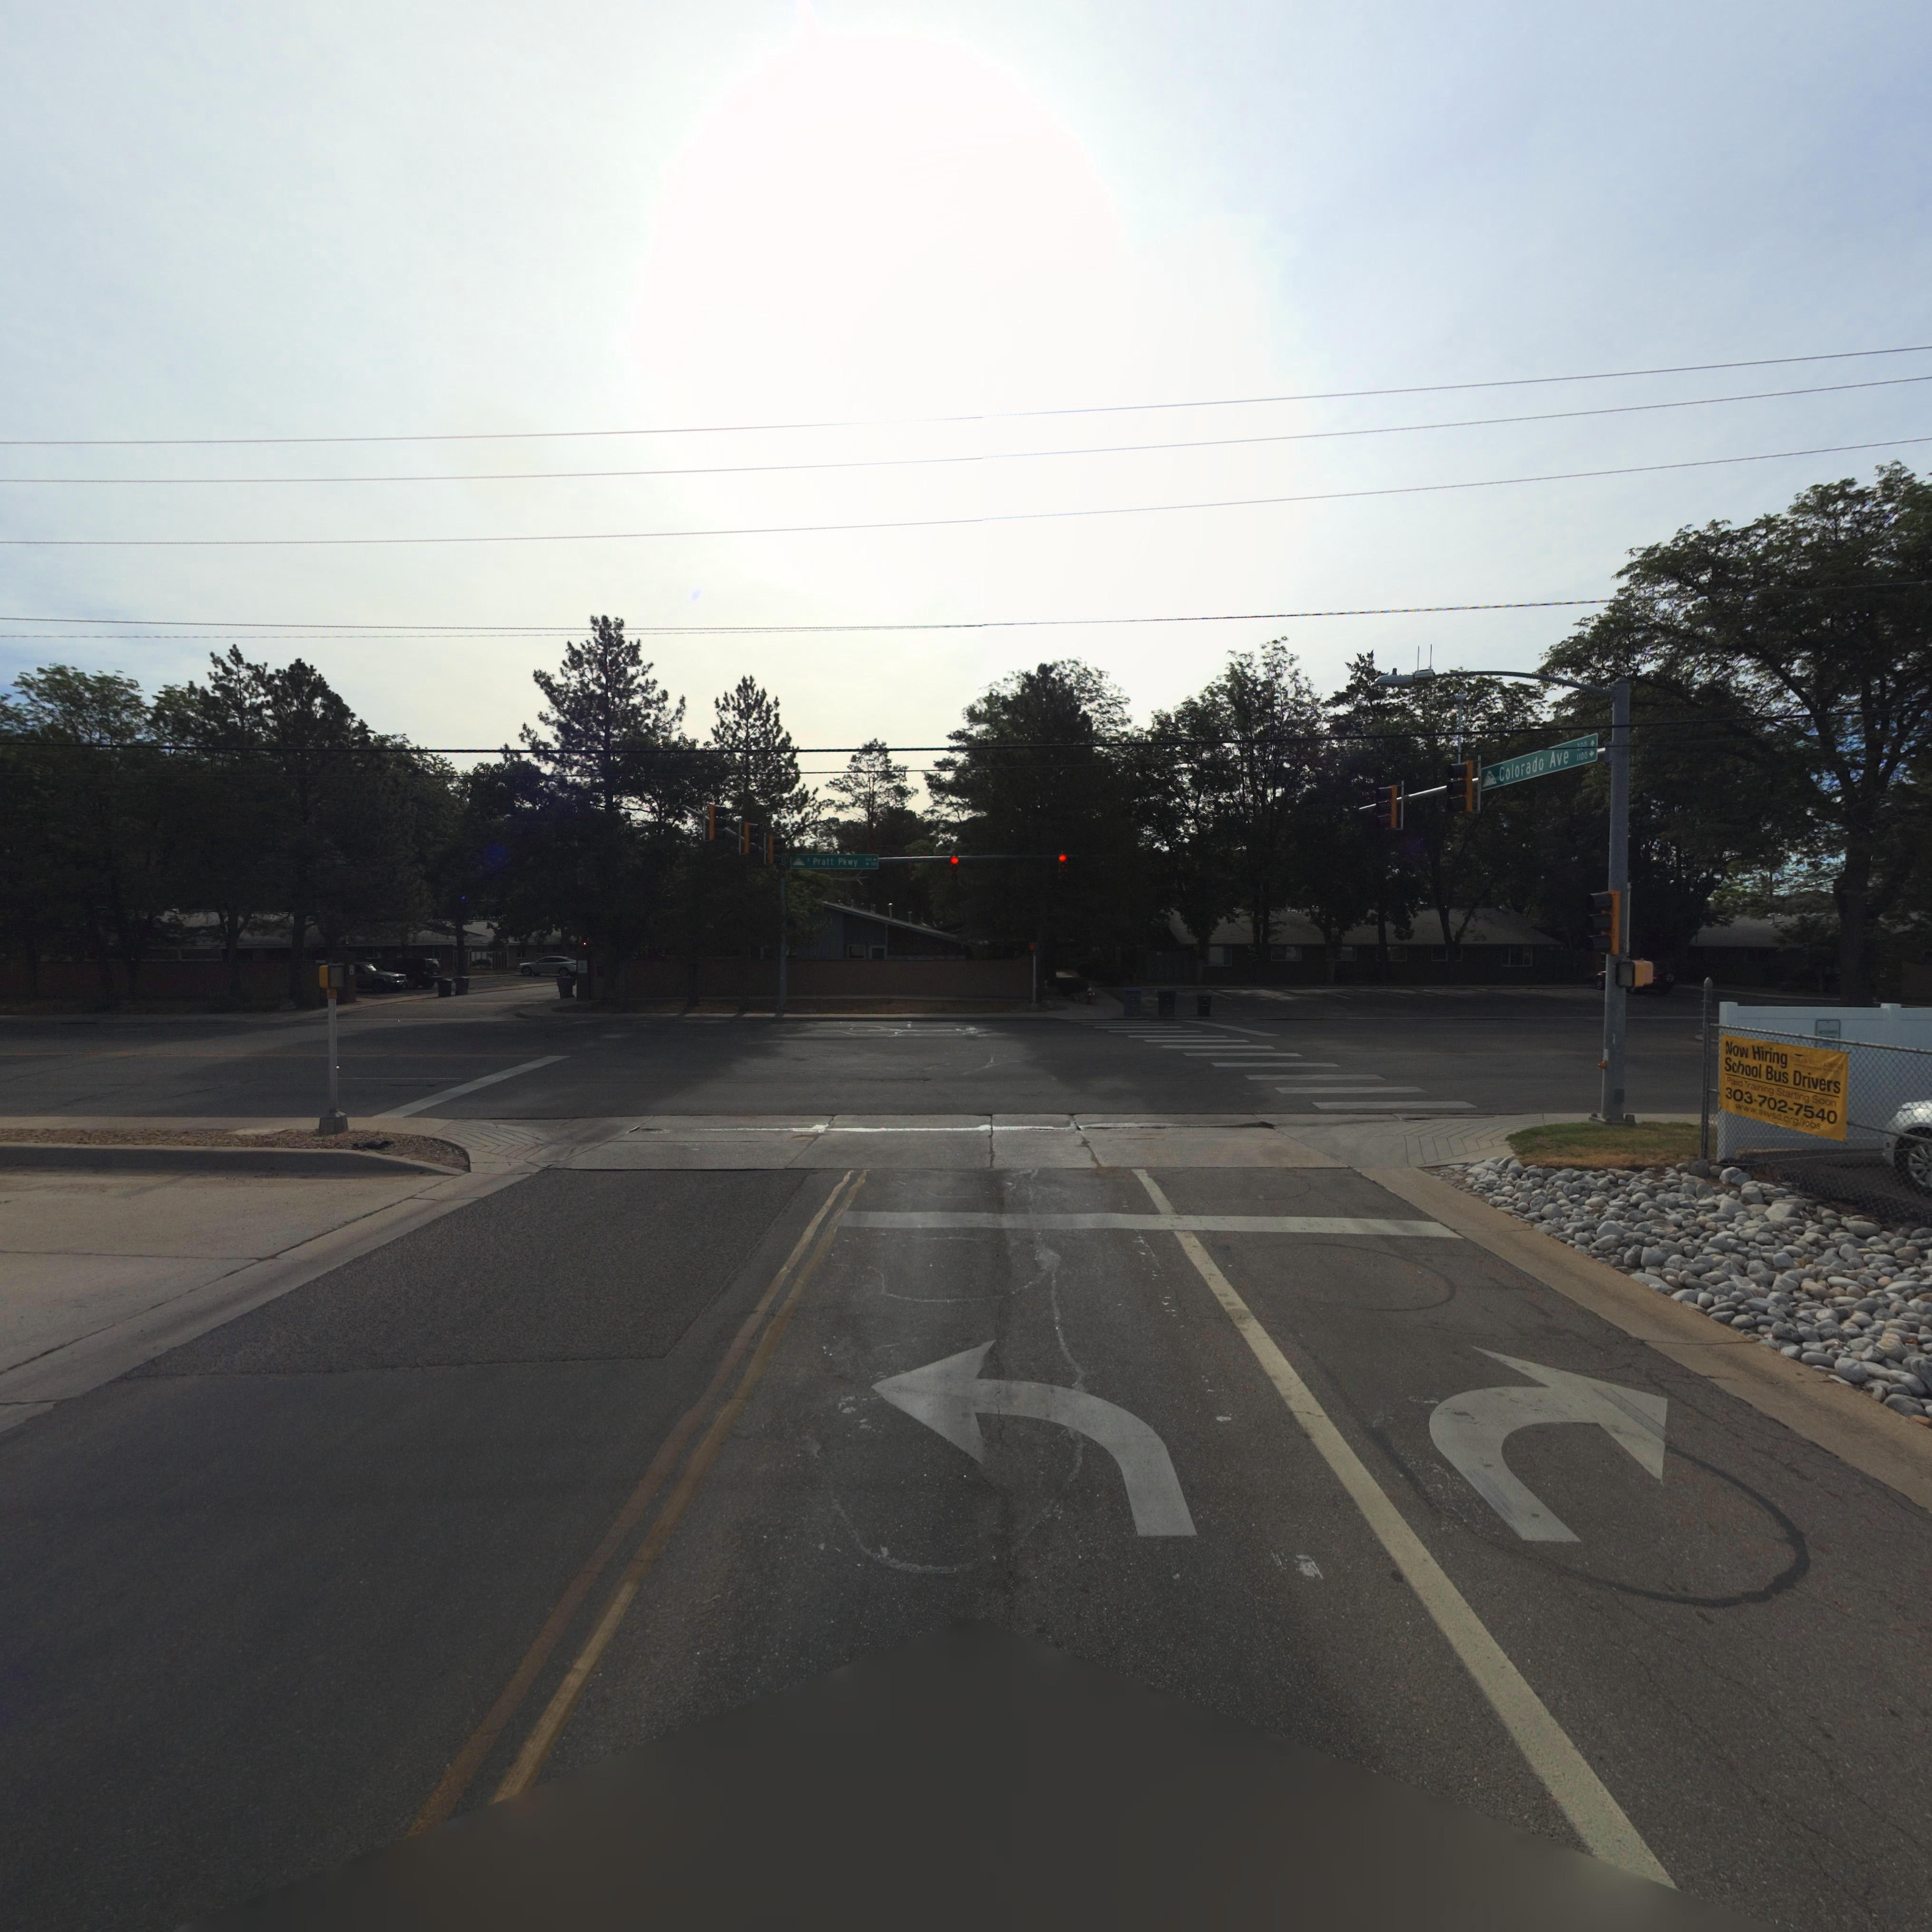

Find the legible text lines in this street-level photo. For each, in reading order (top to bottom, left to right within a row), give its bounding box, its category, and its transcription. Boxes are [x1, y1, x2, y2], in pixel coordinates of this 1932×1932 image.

[1576, 750, 1595, 761] StreetNumberRange: 1100->
[1498, 750, 1569, 782] StreetName: Colorado Ave
[807, 857, 858, 867] StreetName: * Pratt Pkwy